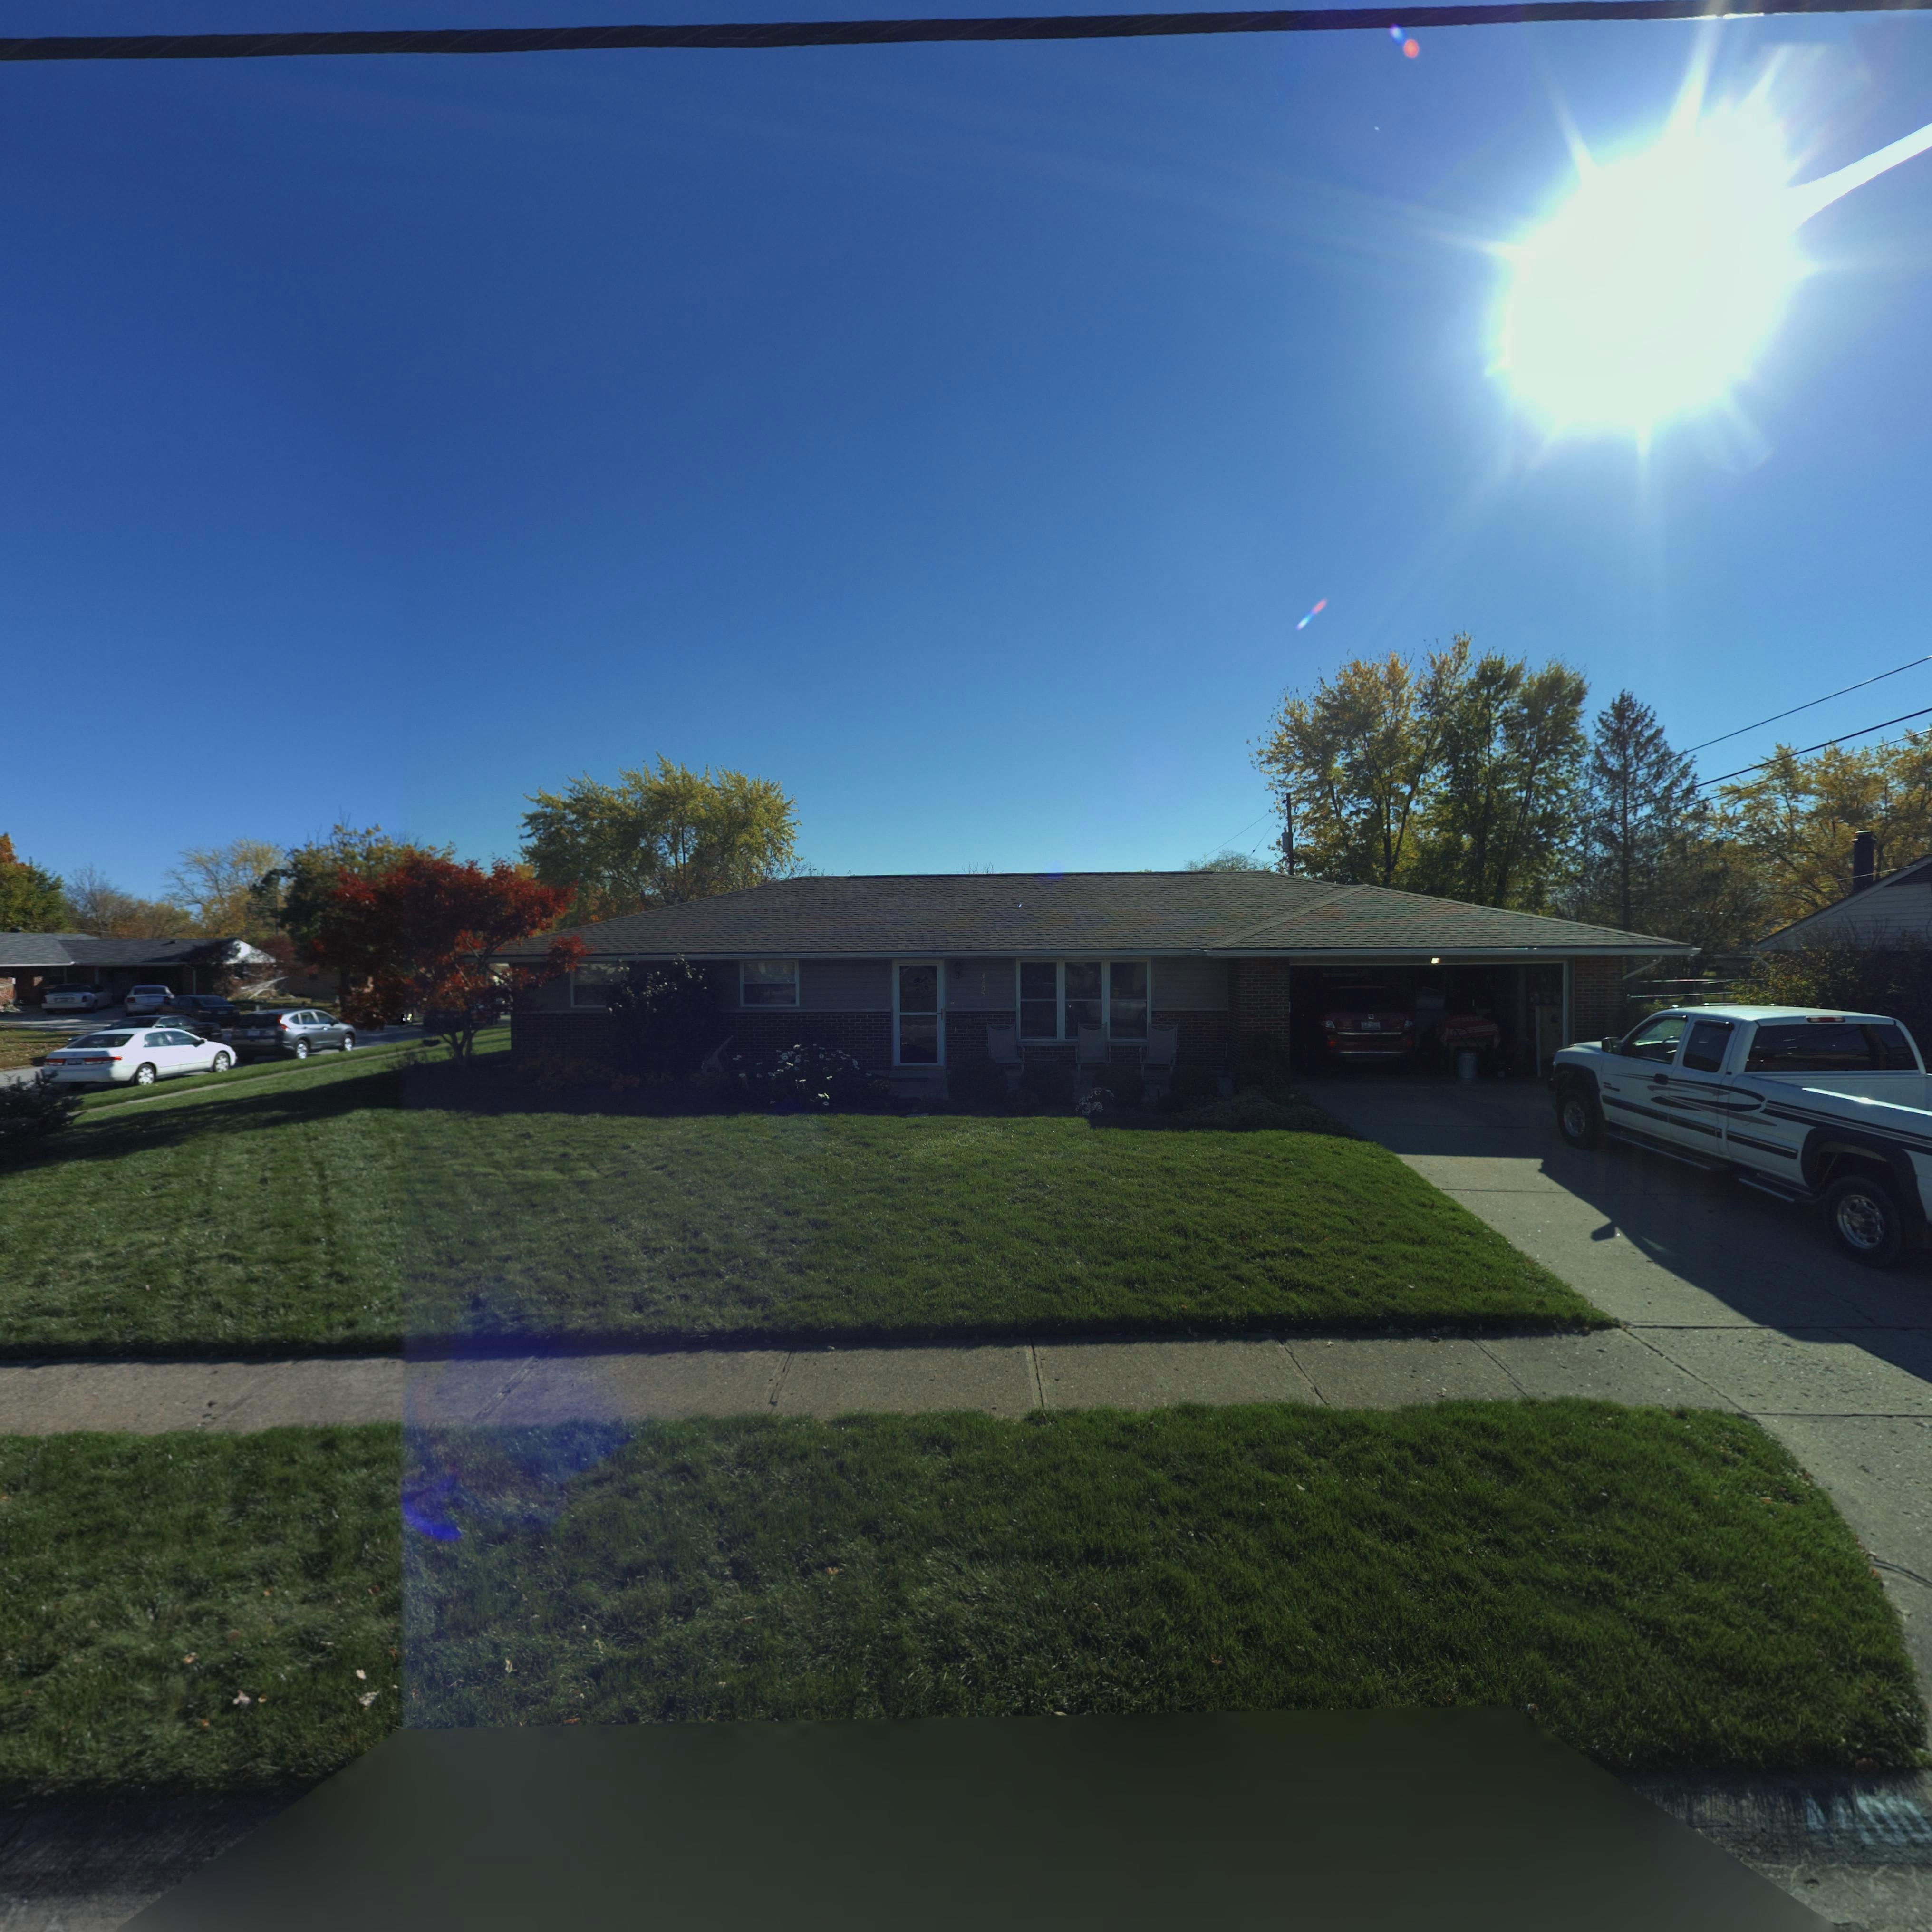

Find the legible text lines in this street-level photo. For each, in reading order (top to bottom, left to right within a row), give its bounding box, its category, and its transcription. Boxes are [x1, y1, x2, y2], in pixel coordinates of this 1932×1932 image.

[981, 973, 986, 999] StreetNumber: 4*00
[1802, 1793, 1932, 1848] StreetNumber: 4400